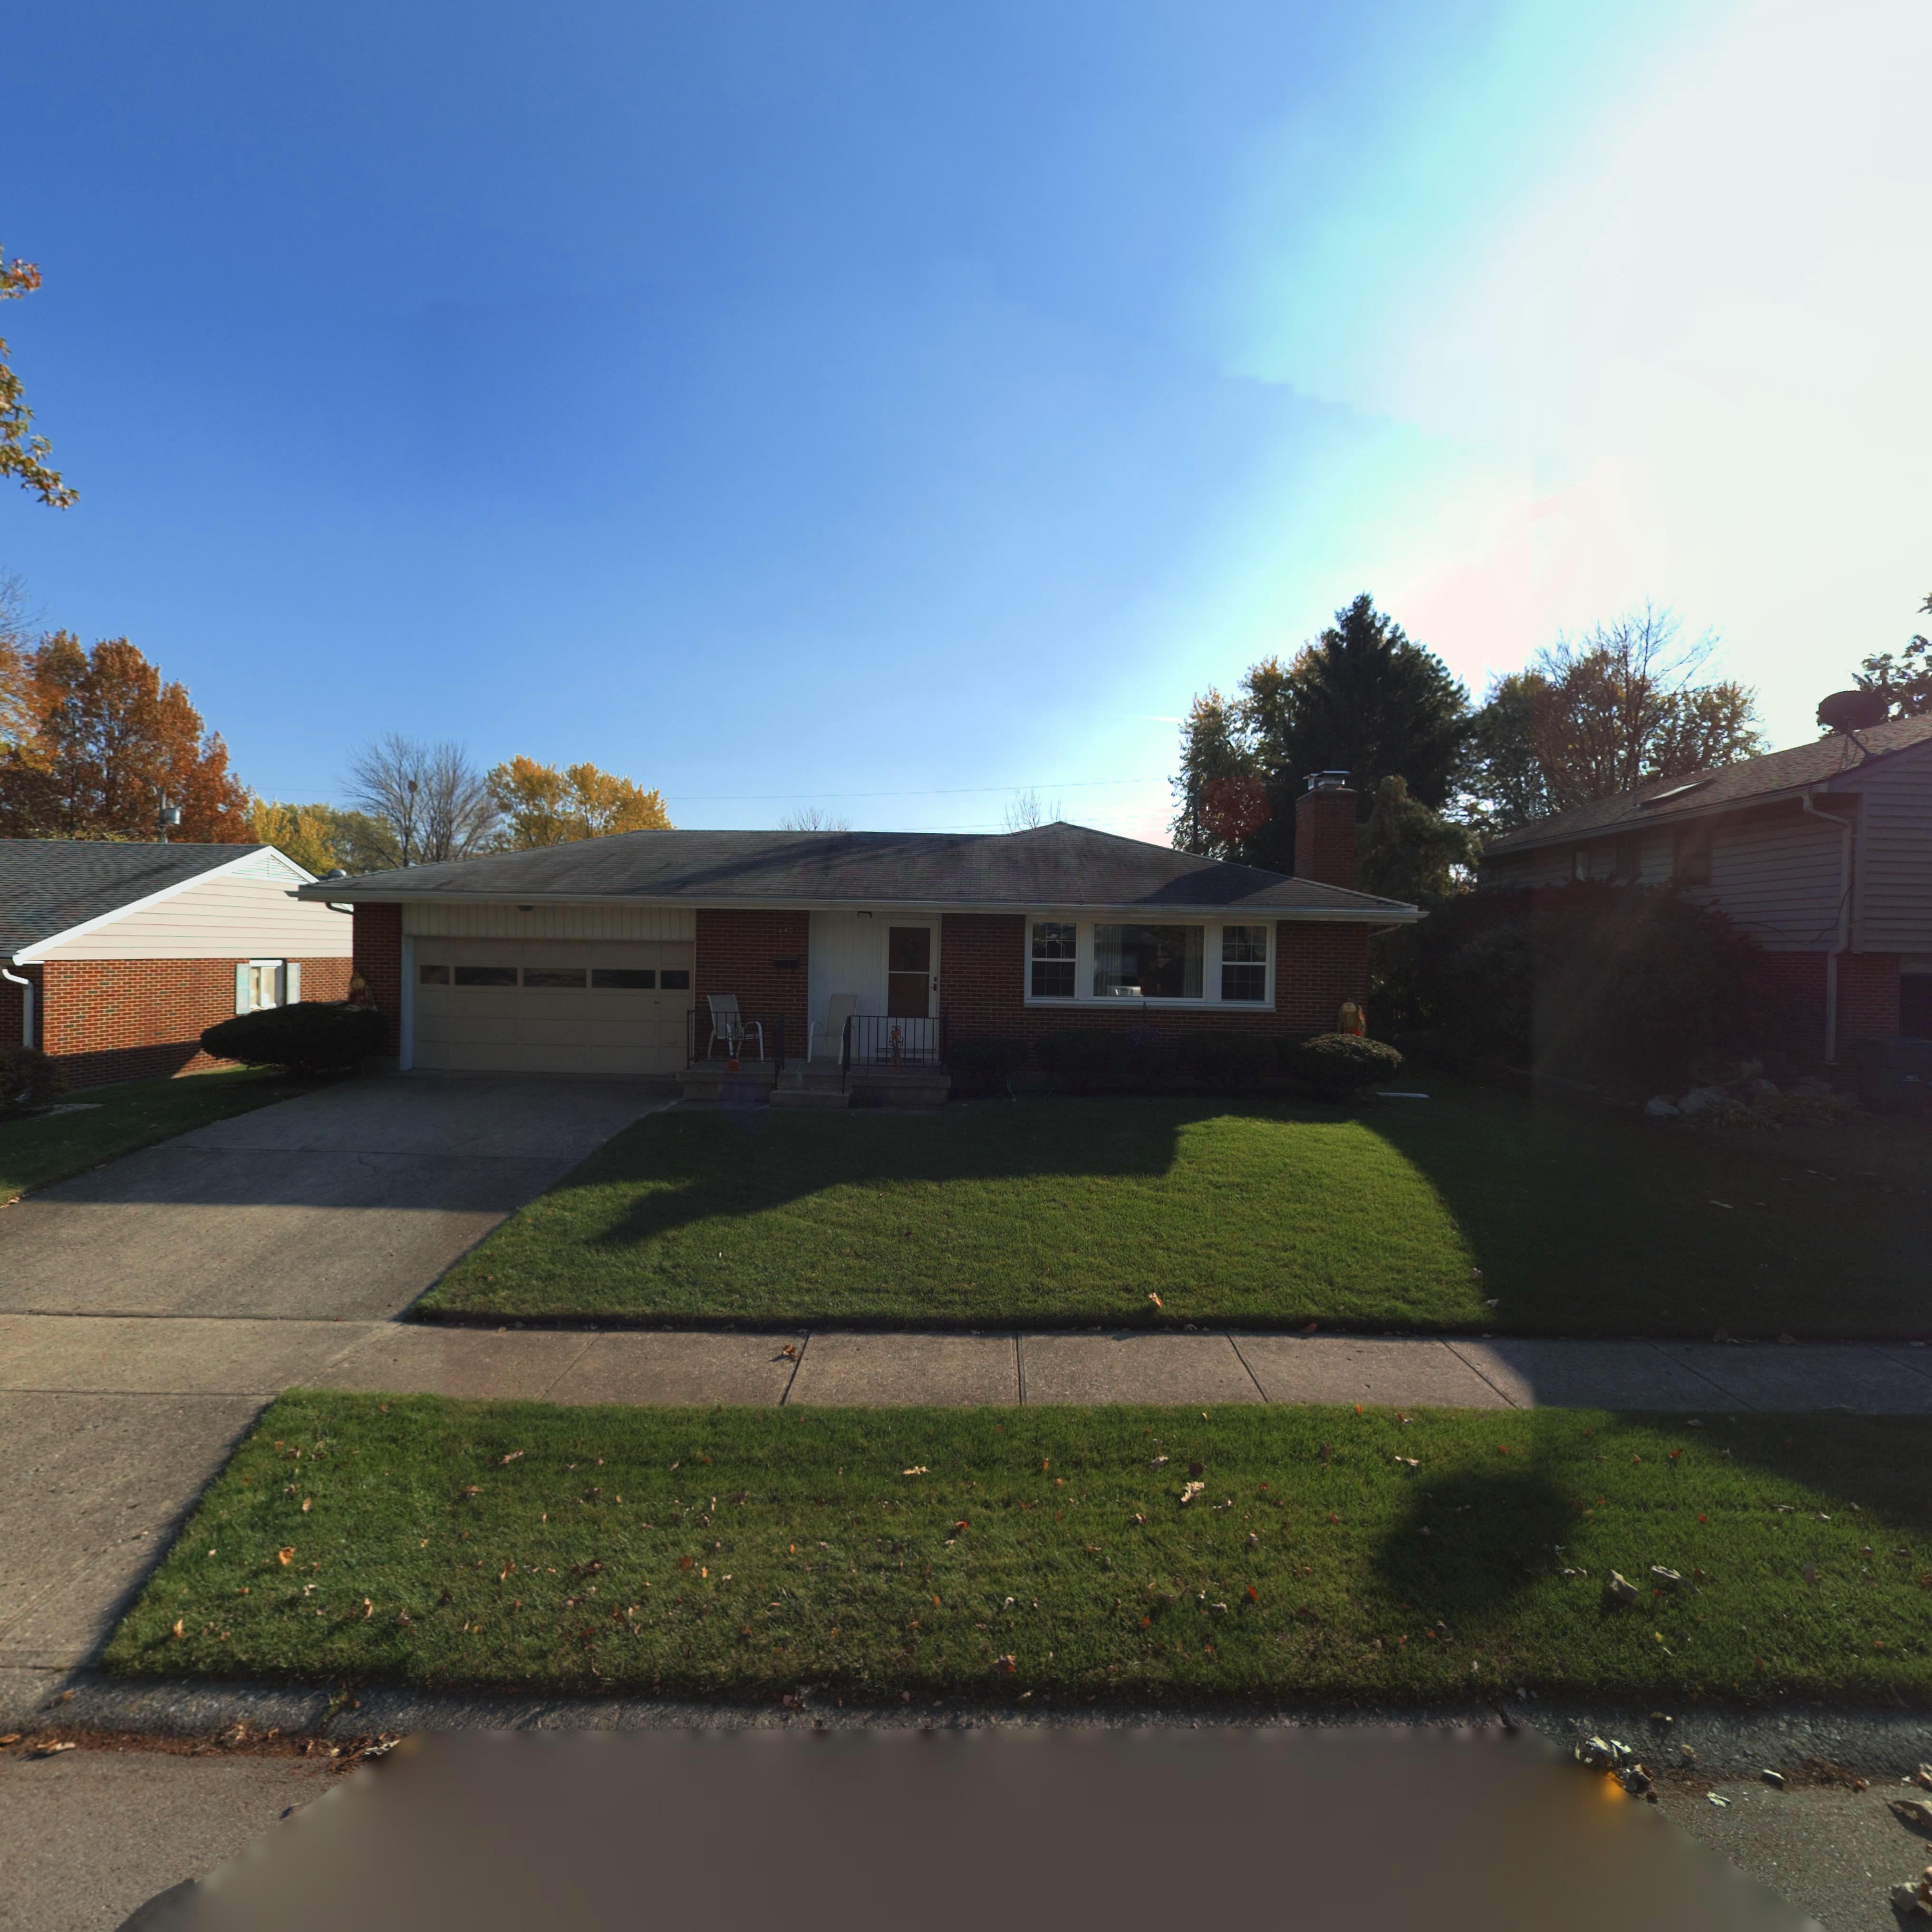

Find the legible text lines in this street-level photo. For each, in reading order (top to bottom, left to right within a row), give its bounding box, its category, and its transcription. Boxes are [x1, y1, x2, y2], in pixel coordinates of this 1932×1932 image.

[778, 927, 793, 934] StreetNumber: 640